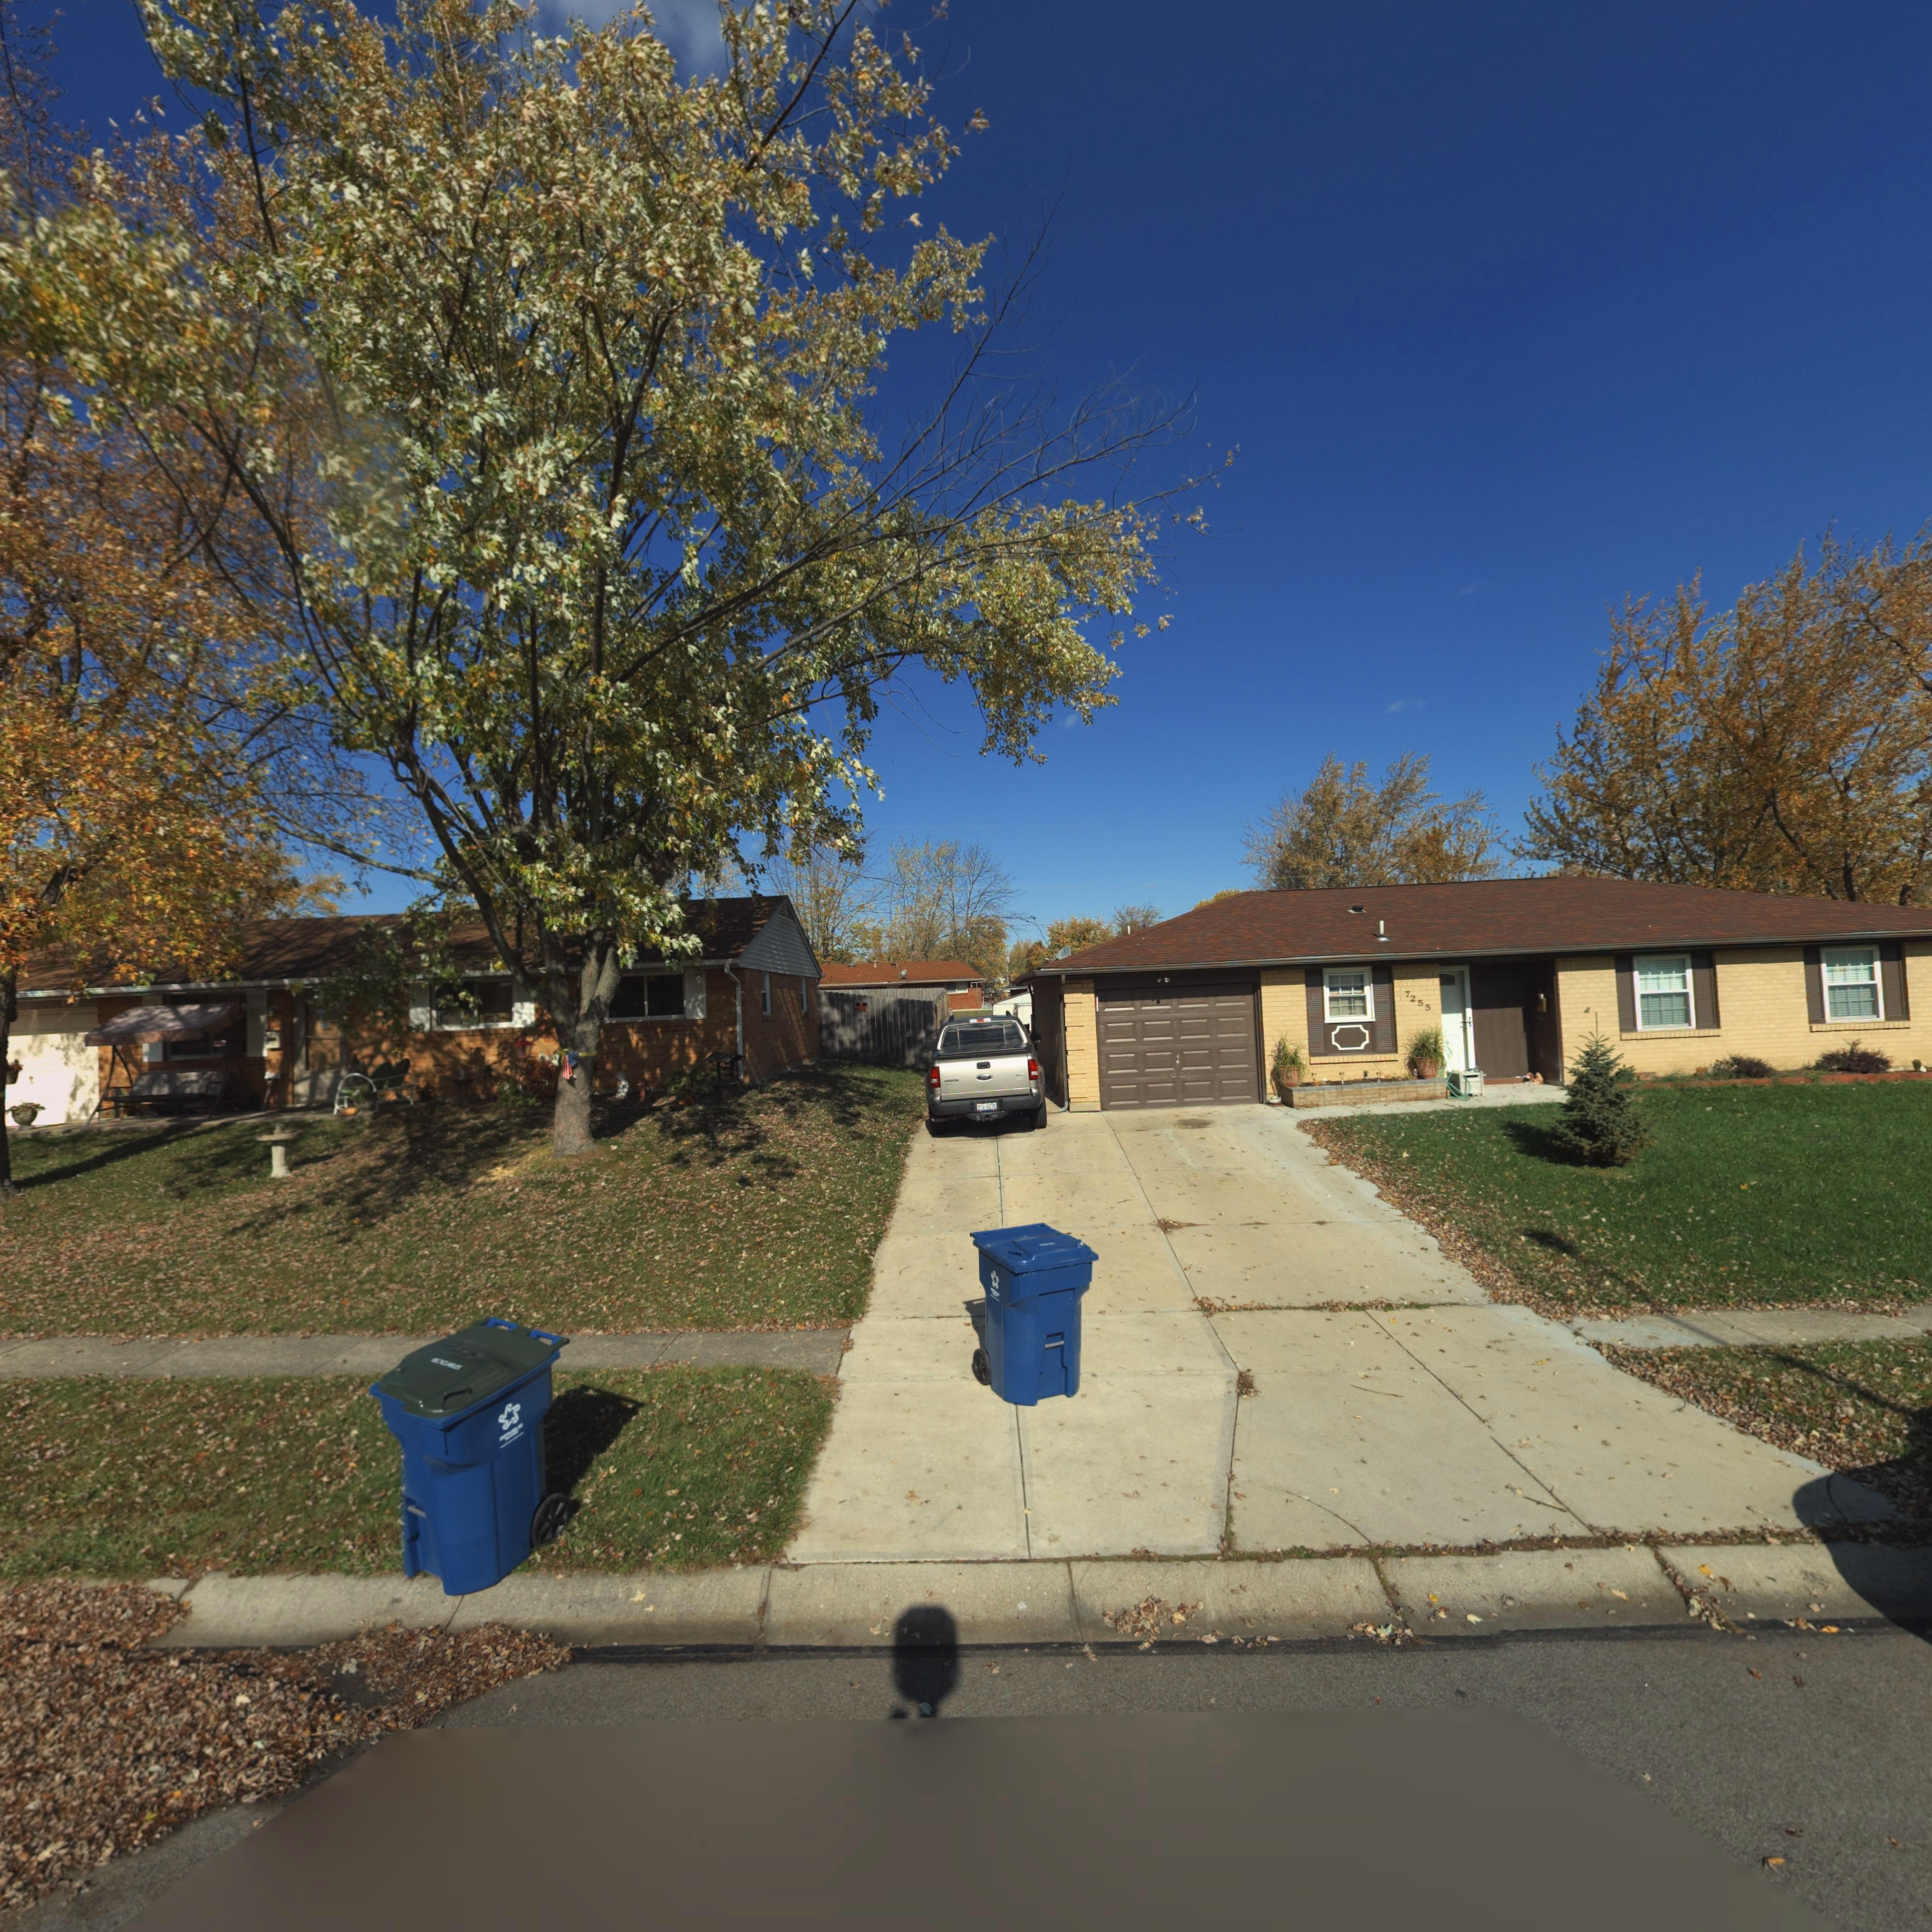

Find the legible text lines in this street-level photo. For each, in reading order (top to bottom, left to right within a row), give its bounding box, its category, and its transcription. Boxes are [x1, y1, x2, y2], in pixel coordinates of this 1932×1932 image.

[1404, 990, 1432, 1013] StreetNumber: 7255